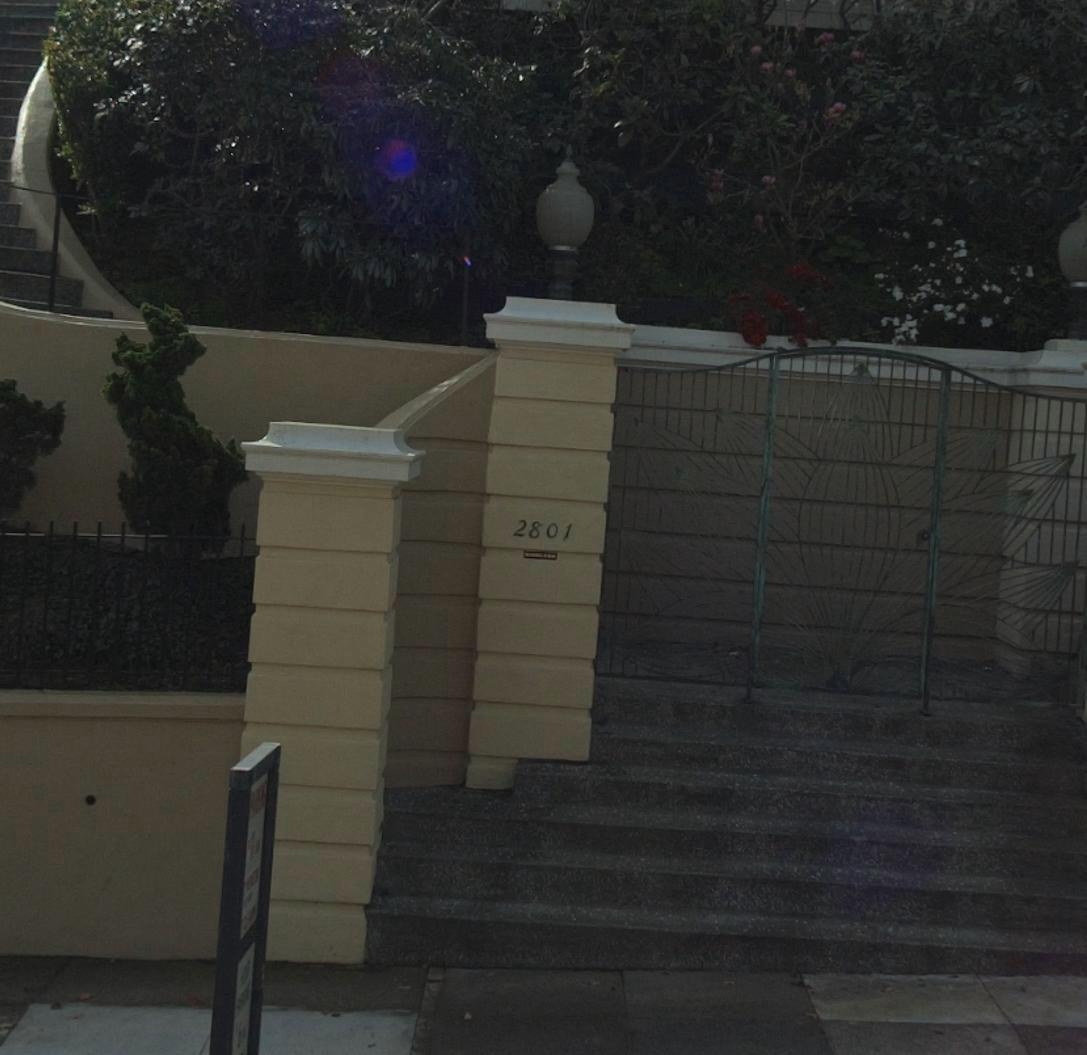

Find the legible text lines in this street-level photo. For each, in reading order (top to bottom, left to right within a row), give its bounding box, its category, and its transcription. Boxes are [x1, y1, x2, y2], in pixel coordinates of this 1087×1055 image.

[507, 514, 578, 545] StreetNumber: 2801